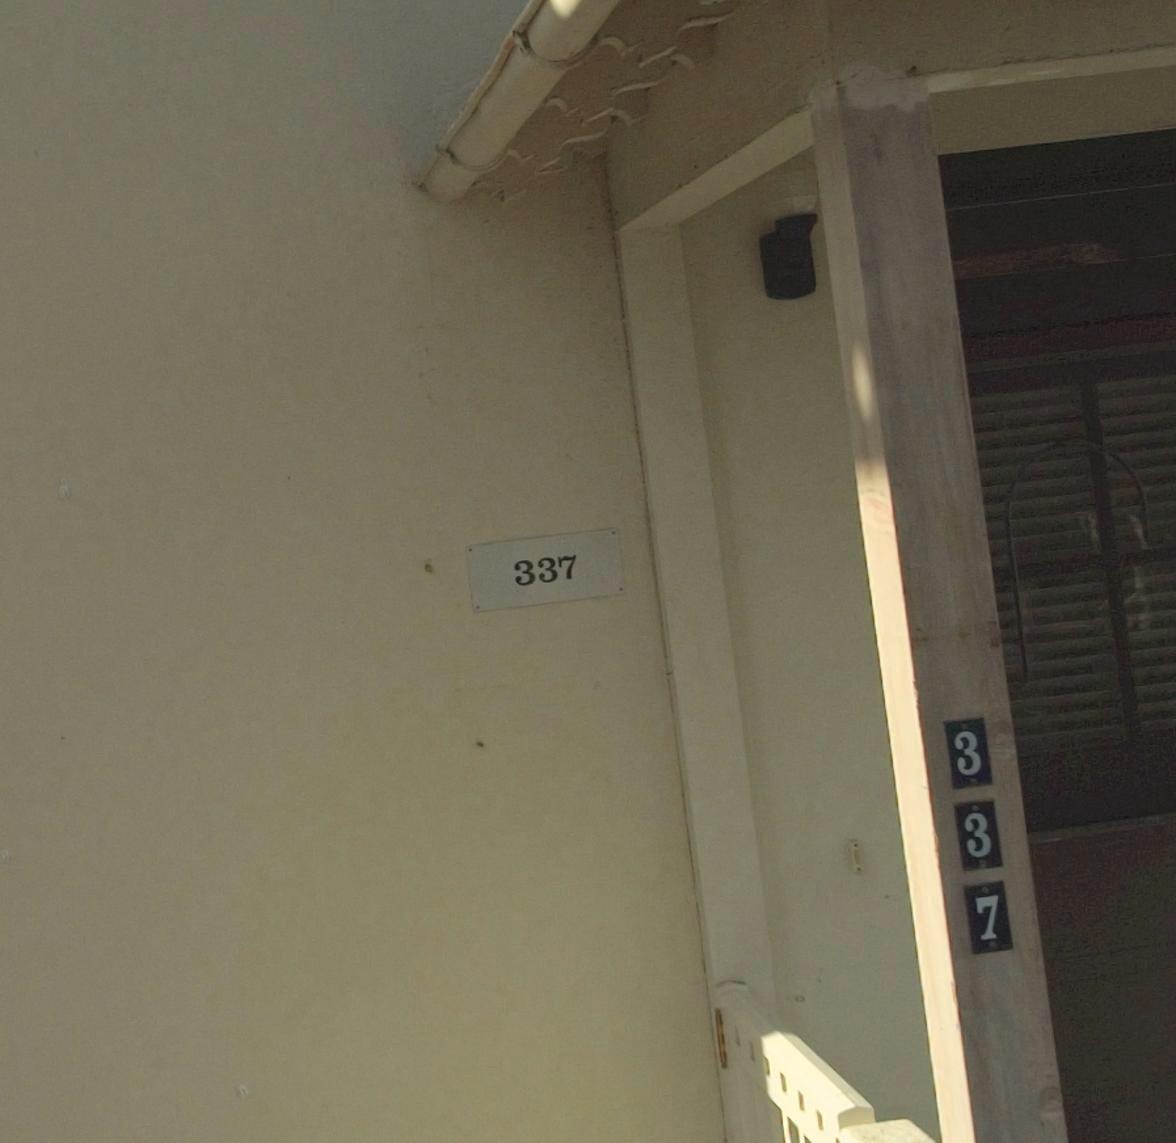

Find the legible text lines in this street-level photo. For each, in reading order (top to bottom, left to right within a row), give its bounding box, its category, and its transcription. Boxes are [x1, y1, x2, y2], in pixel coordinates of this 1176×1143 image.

[513, 553, 578, 587] StreetNumber: 337
[952, 728, 1003, 944] StreetNumber: 337